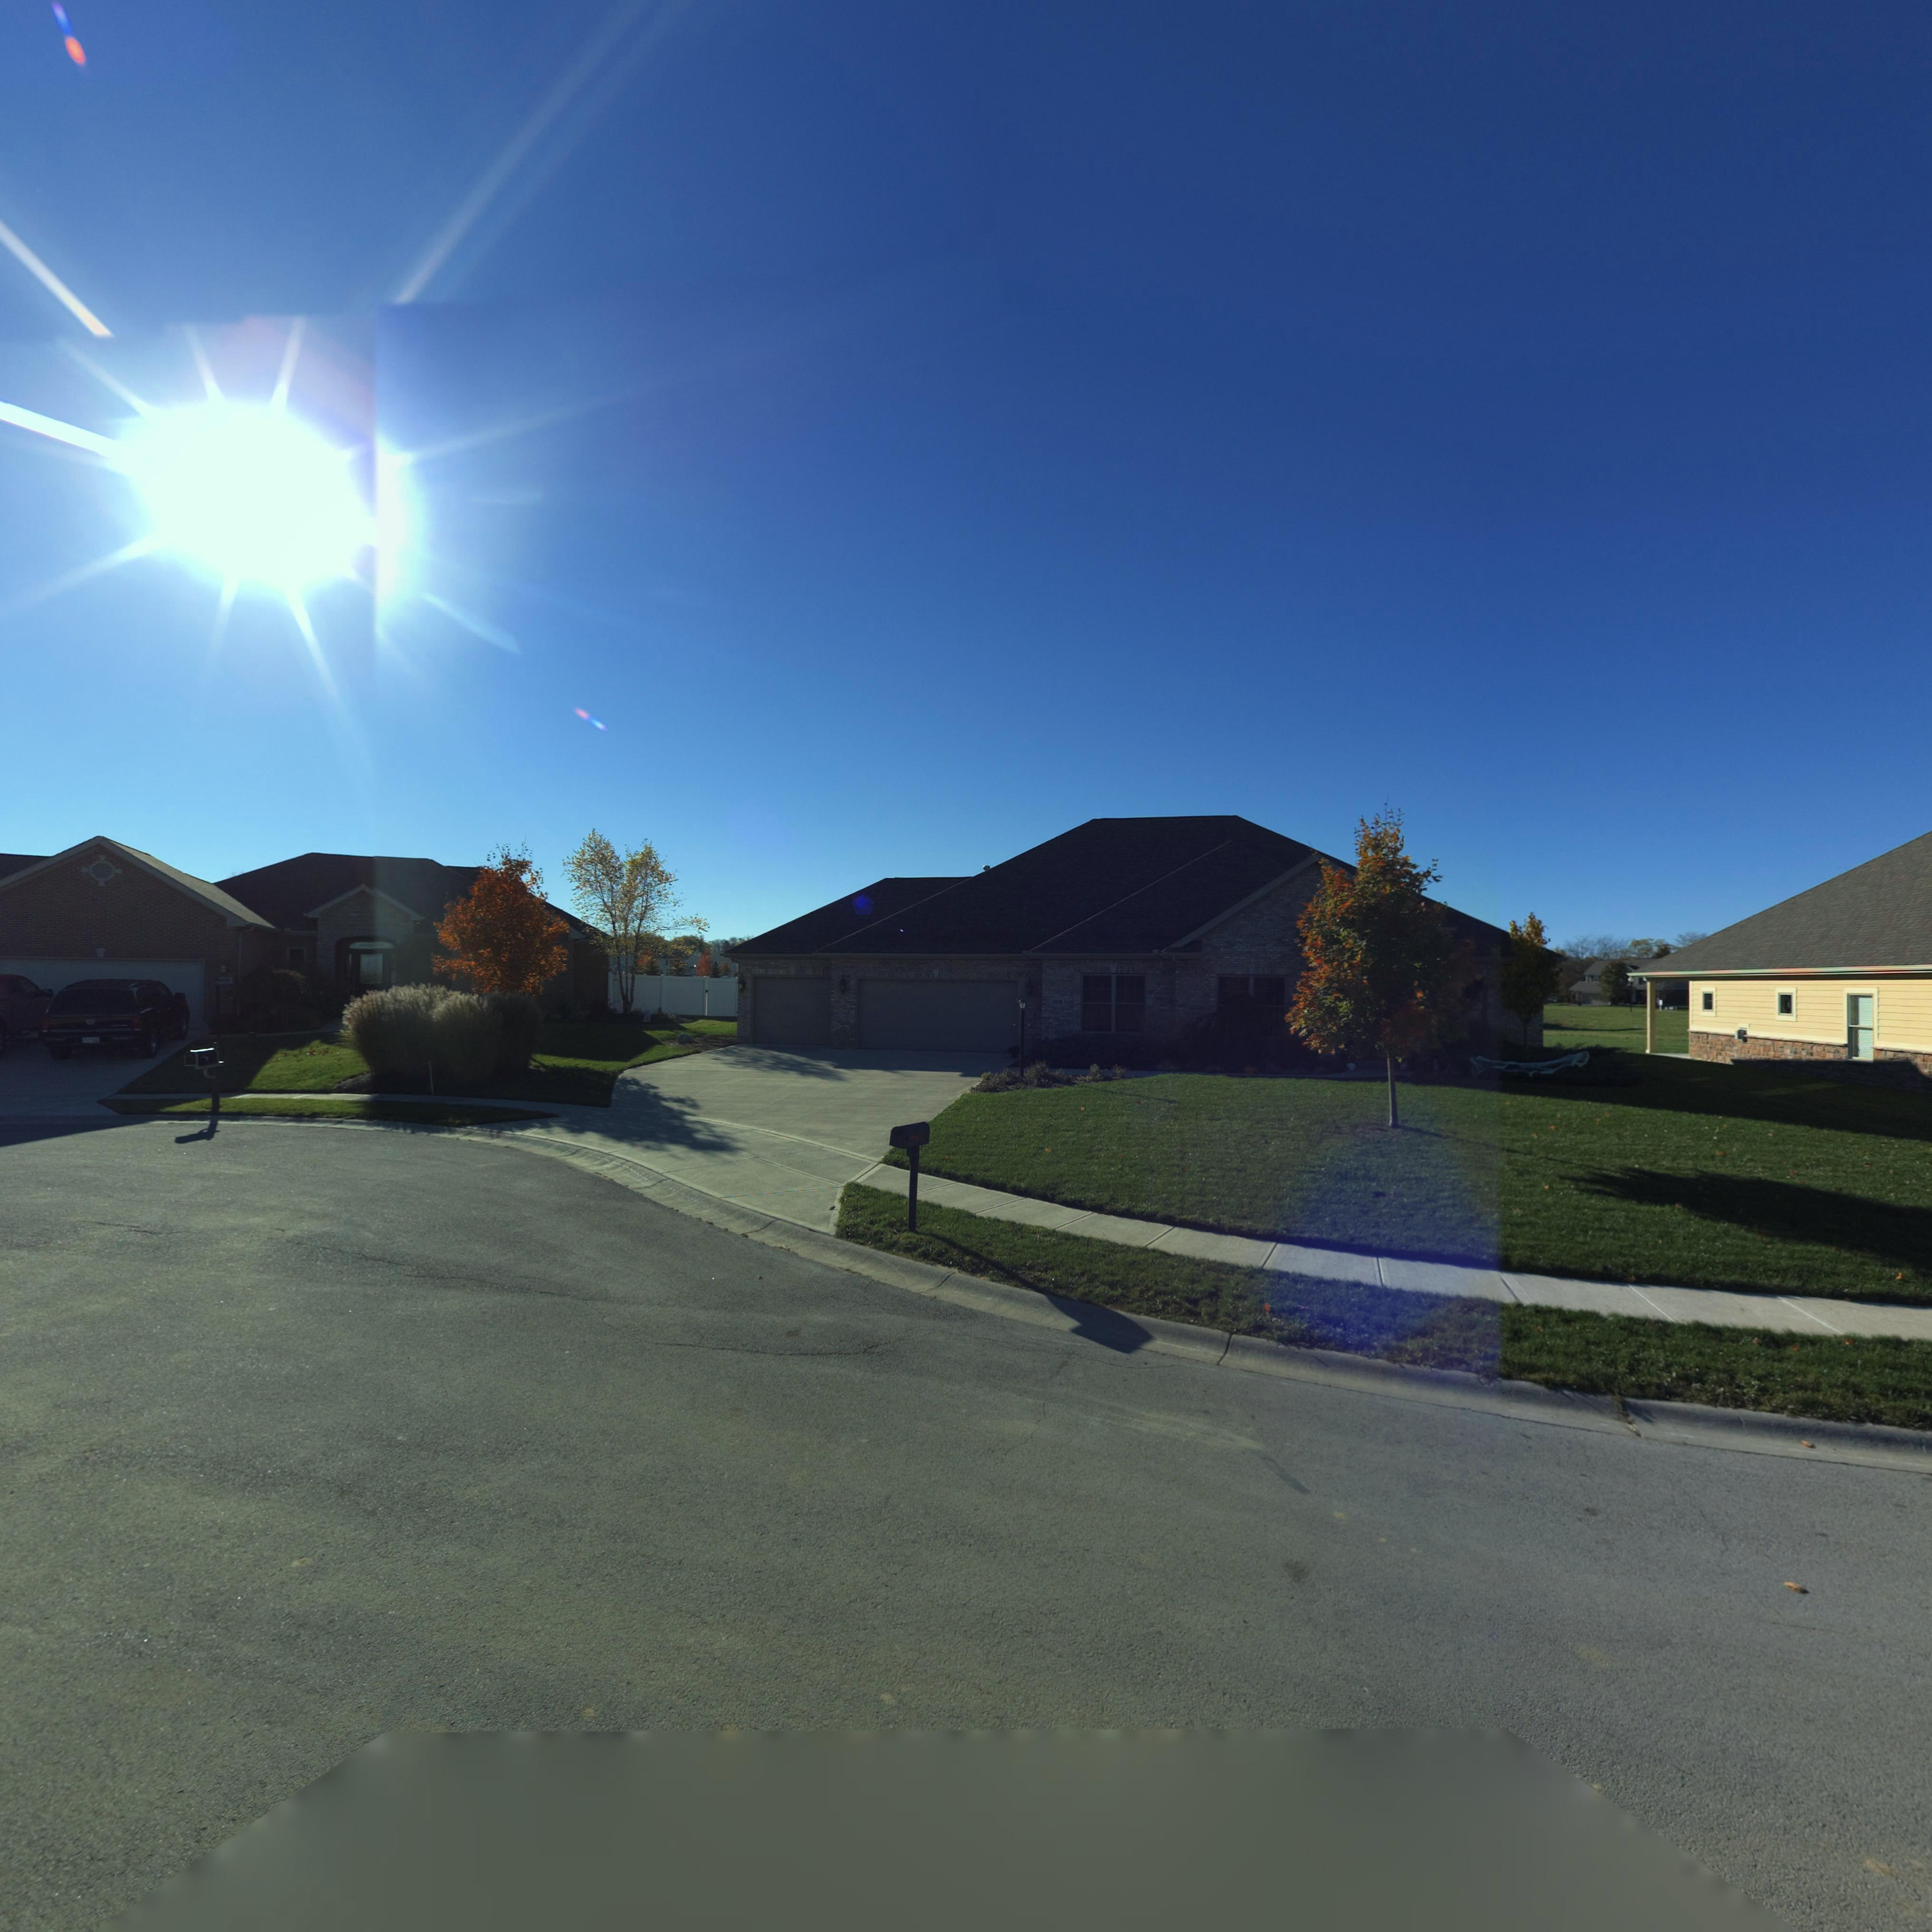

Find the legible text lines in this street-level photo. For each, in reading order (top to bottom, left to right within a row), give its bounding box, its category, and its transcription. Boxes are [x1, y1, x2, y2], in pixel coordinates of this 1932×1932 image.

[1052, 999, 1063, 1005] StreetNumber: 10*